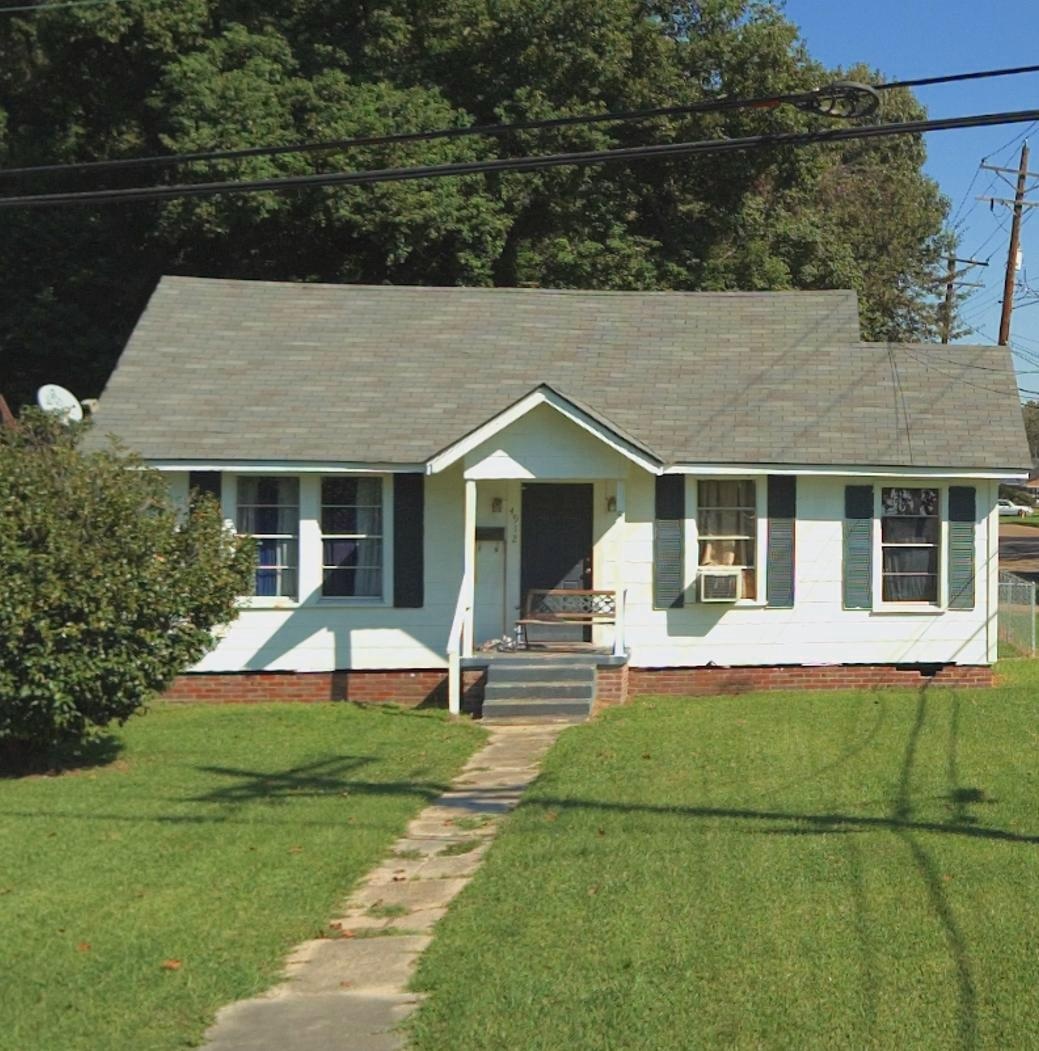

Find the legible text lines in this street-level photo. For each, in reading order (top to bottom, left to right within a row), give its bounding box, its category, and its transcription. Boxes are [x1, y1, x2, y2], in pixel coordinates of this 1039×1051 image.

[508, 506, 520, 543] StreetNumber: 4912